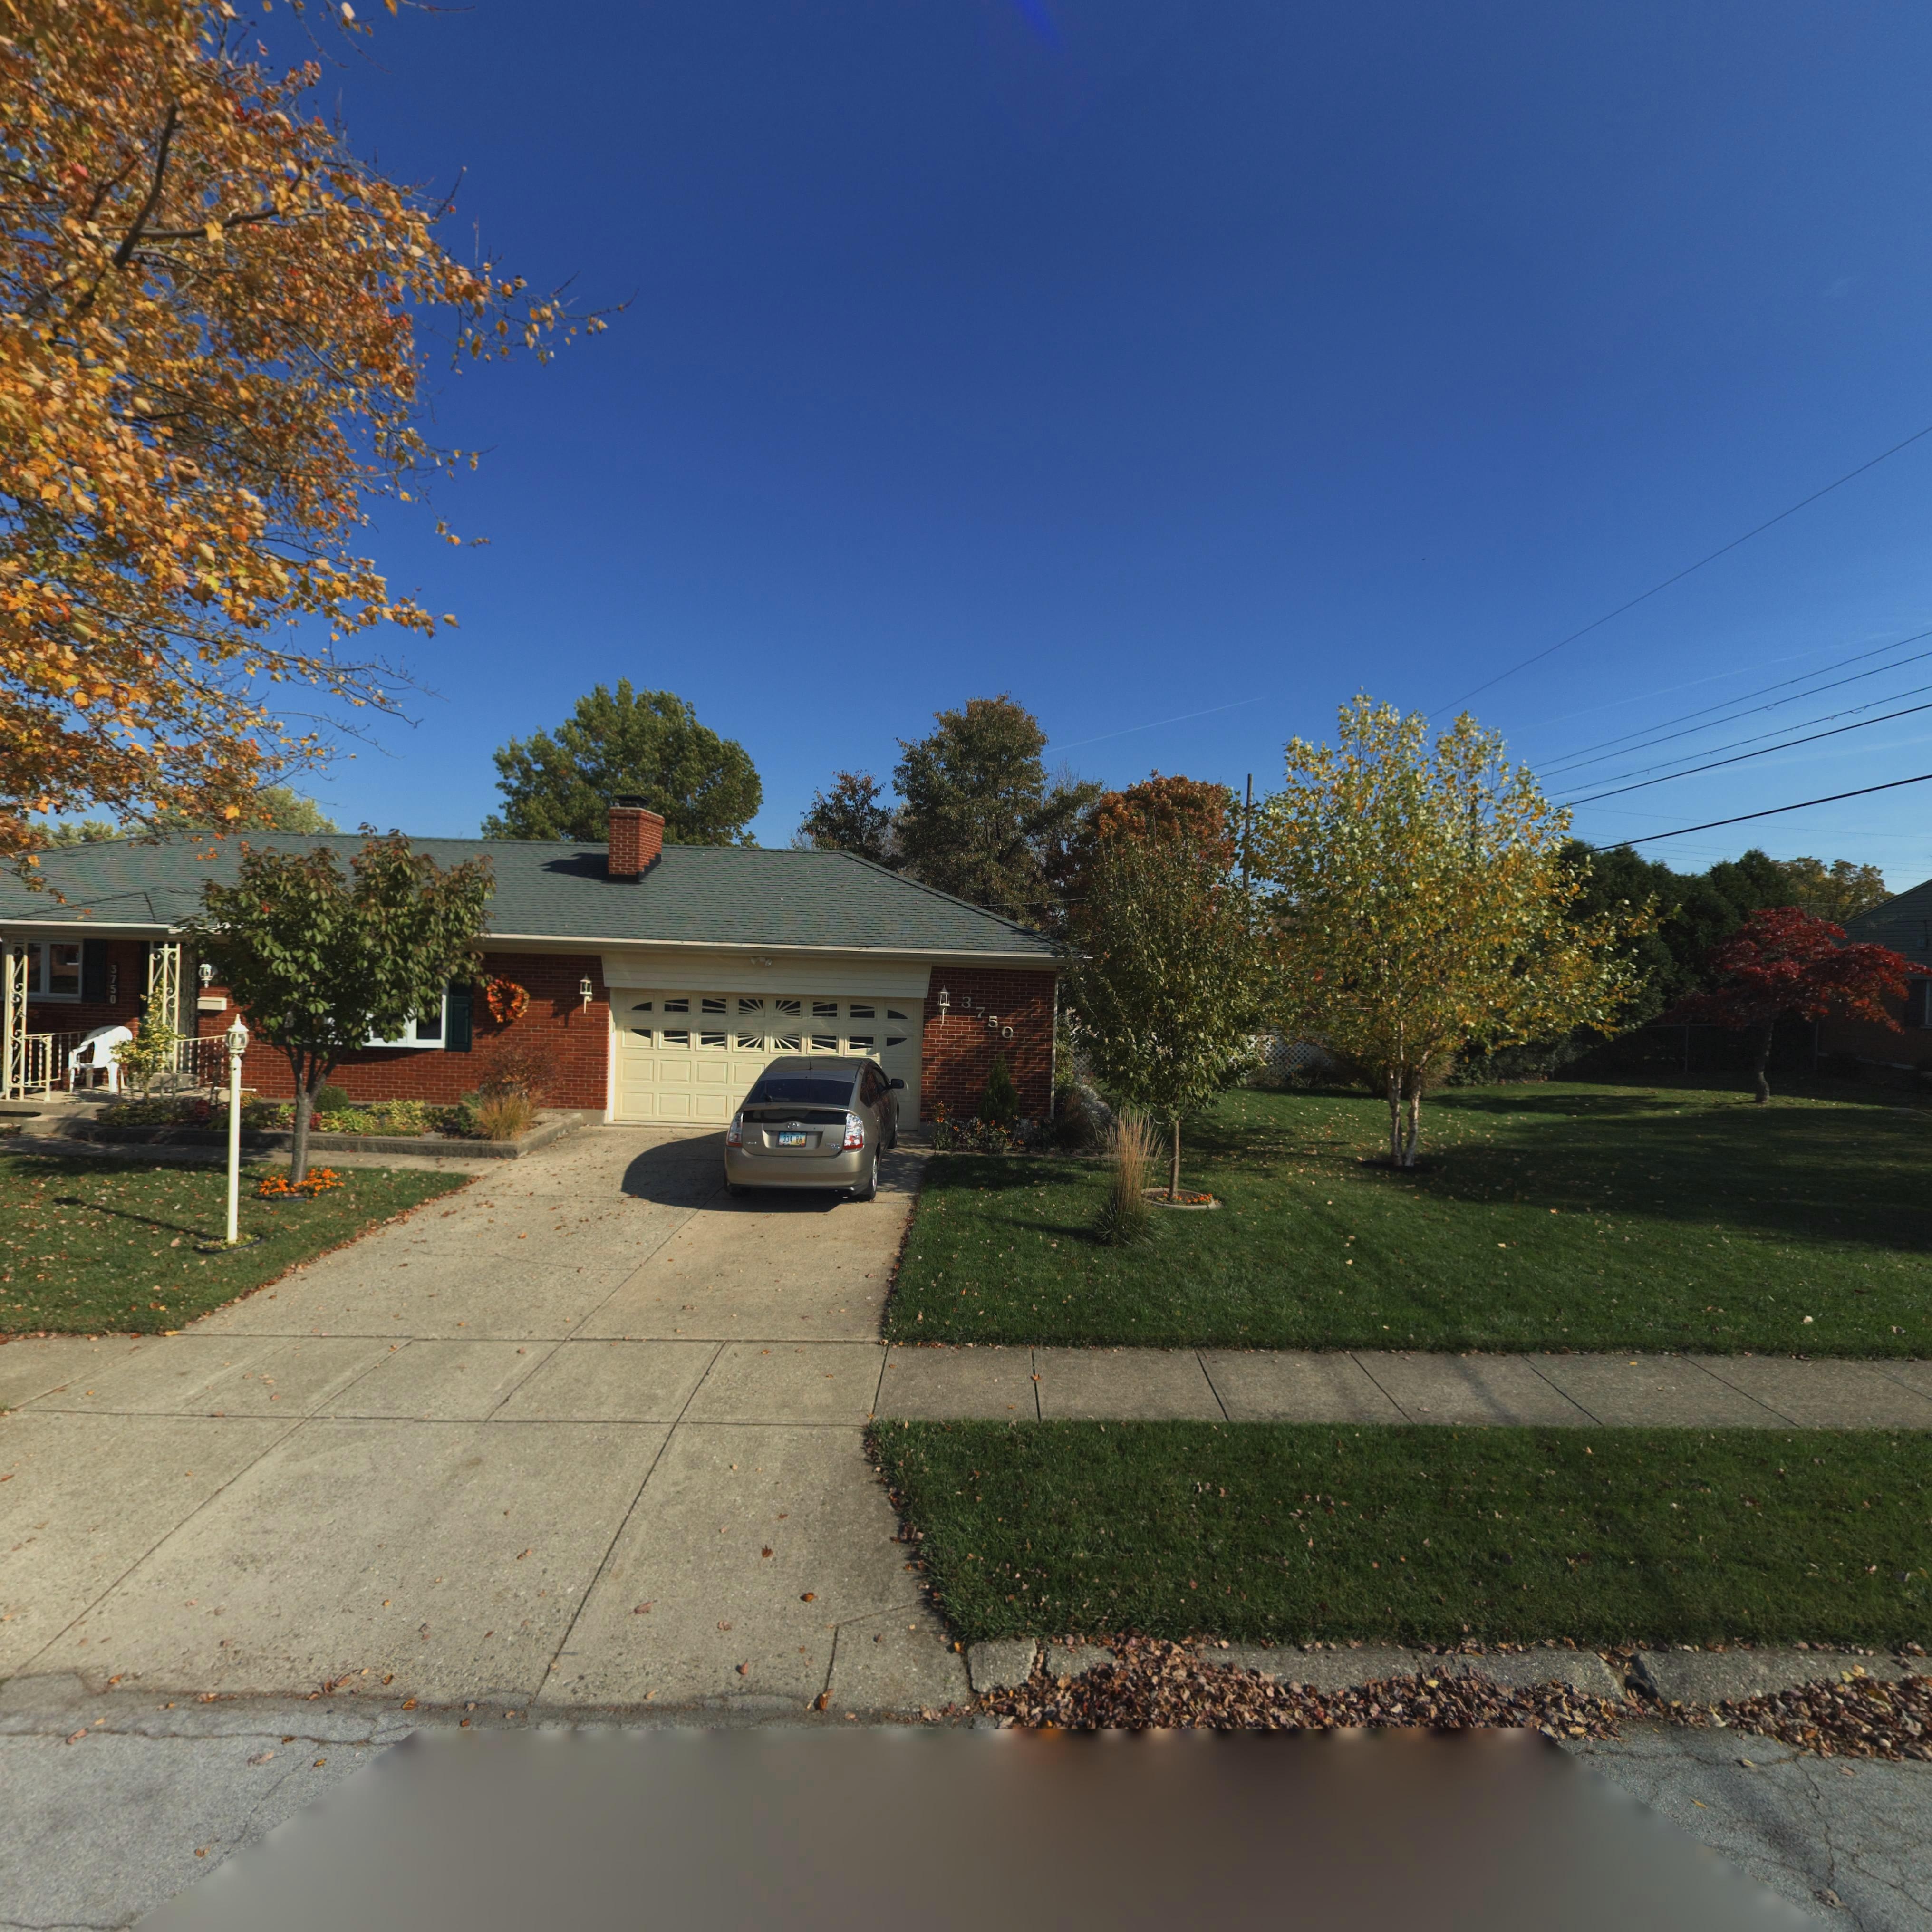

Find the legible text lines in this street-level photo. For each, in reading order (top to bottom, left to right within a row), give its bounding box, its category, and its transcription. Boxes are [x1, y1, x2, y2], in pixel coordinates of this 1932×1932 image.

[109, 964, 117, 1005] StreetNumber: 3750
[960, 995, 1014, 1040] StreetNumber: 3750
[782, 1135, 803, 1143] None: 334 RH